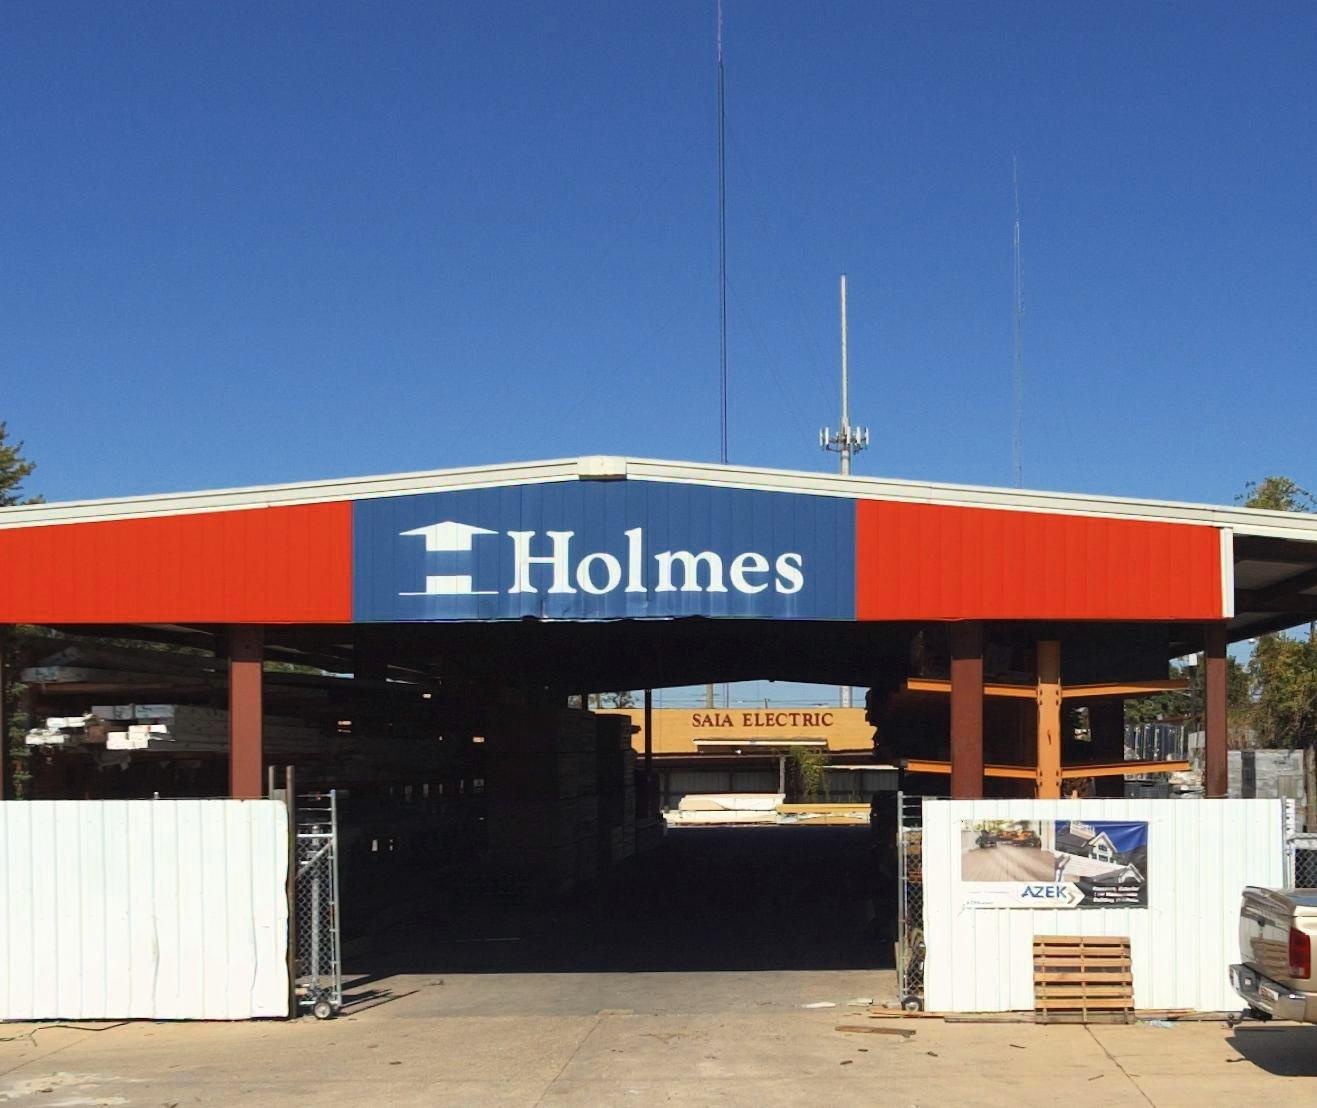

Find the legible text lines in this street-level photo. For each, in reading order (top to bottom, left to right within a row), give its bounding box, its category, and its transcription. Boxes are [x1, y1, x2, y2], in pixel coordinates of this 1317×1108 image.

[503, 523, 808, 598] BusinessName: Holmes
[690, 709, 836, 730] BusinessName: SALA ELECTRIC
[1017, 883, 1070, 901] None: AZEK